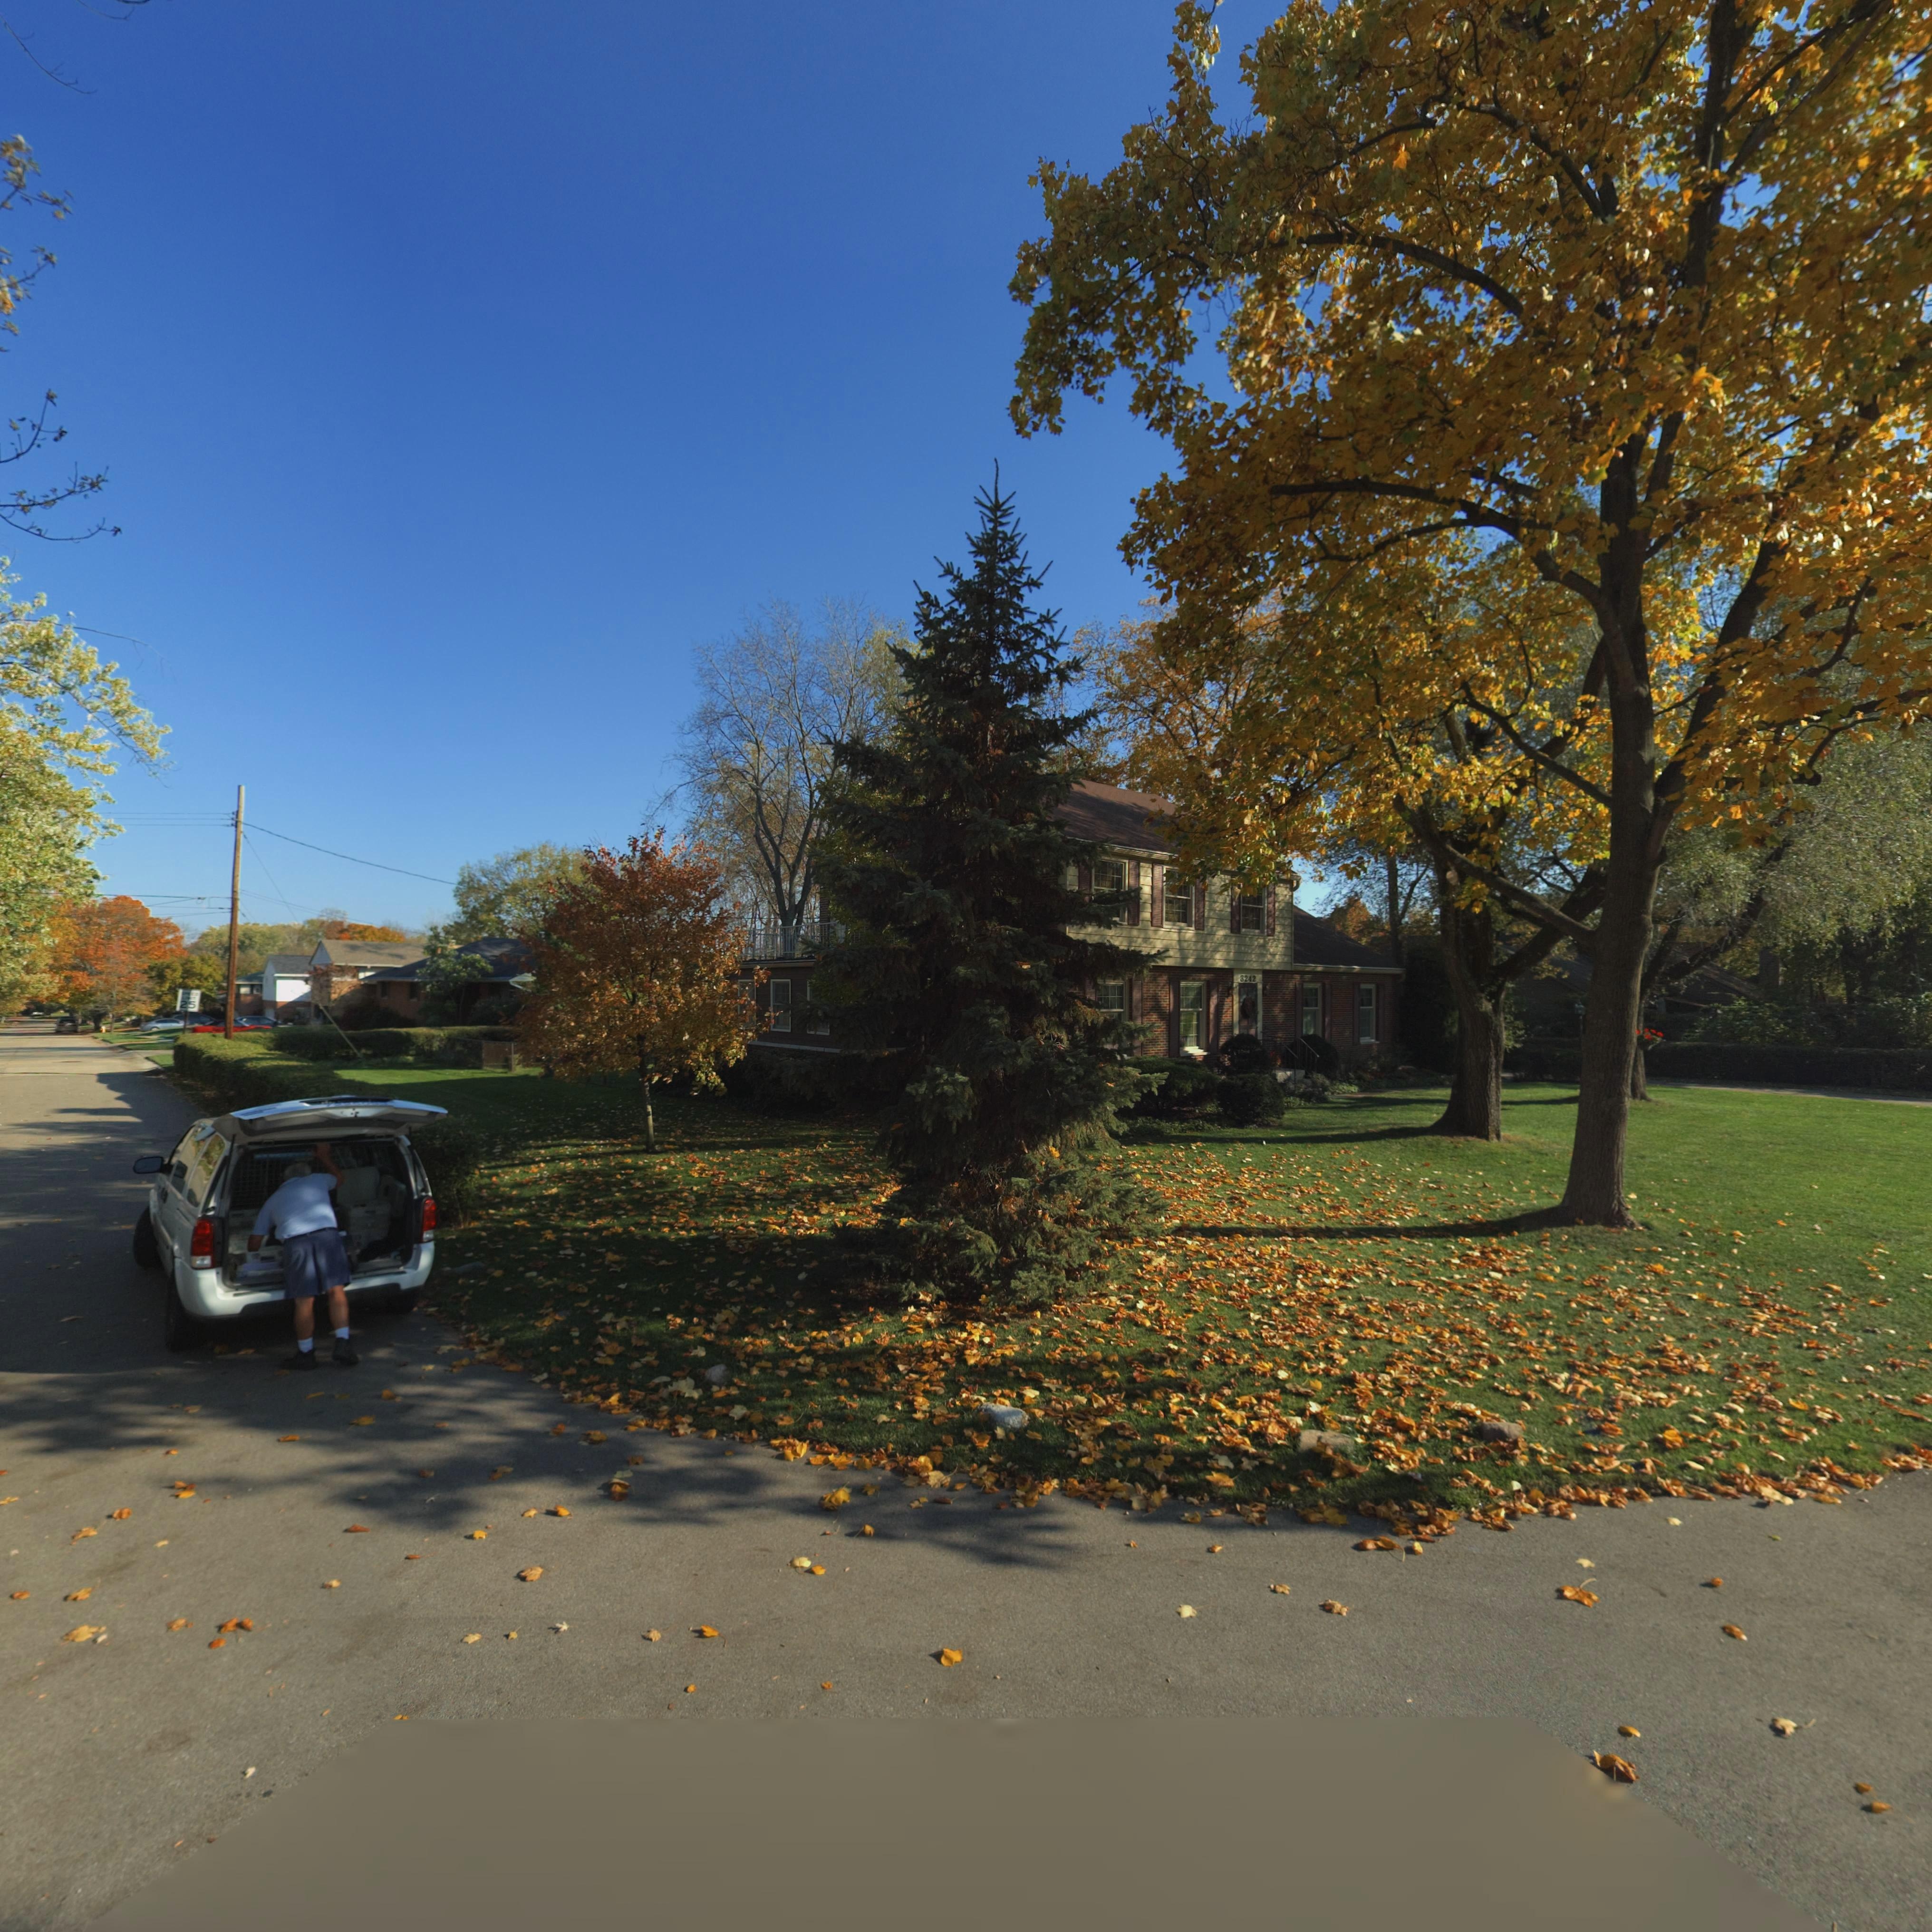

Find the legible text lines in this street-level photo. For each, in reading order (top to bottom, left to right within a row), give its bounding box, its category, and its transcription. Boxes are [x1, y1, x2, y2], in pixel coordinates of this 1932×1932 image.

[1239, 975, 1256, 982] StreetNumber: 3242